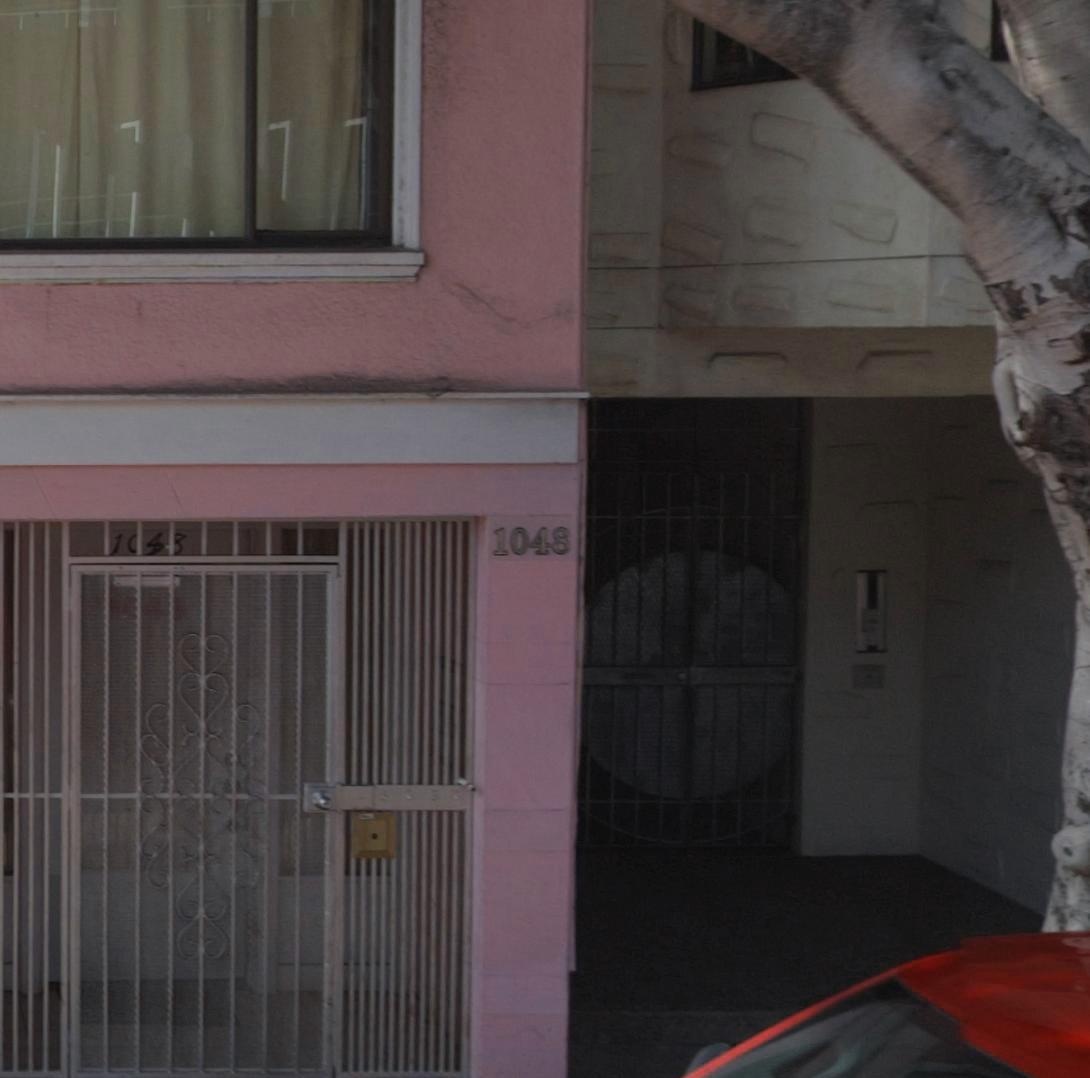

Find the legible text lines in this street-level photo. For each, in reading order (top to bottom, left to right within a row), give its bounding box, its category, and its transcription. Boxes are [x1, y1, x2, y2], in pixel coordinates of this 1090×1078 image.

[490, 524, 571, 559] StreetNumber: 1048